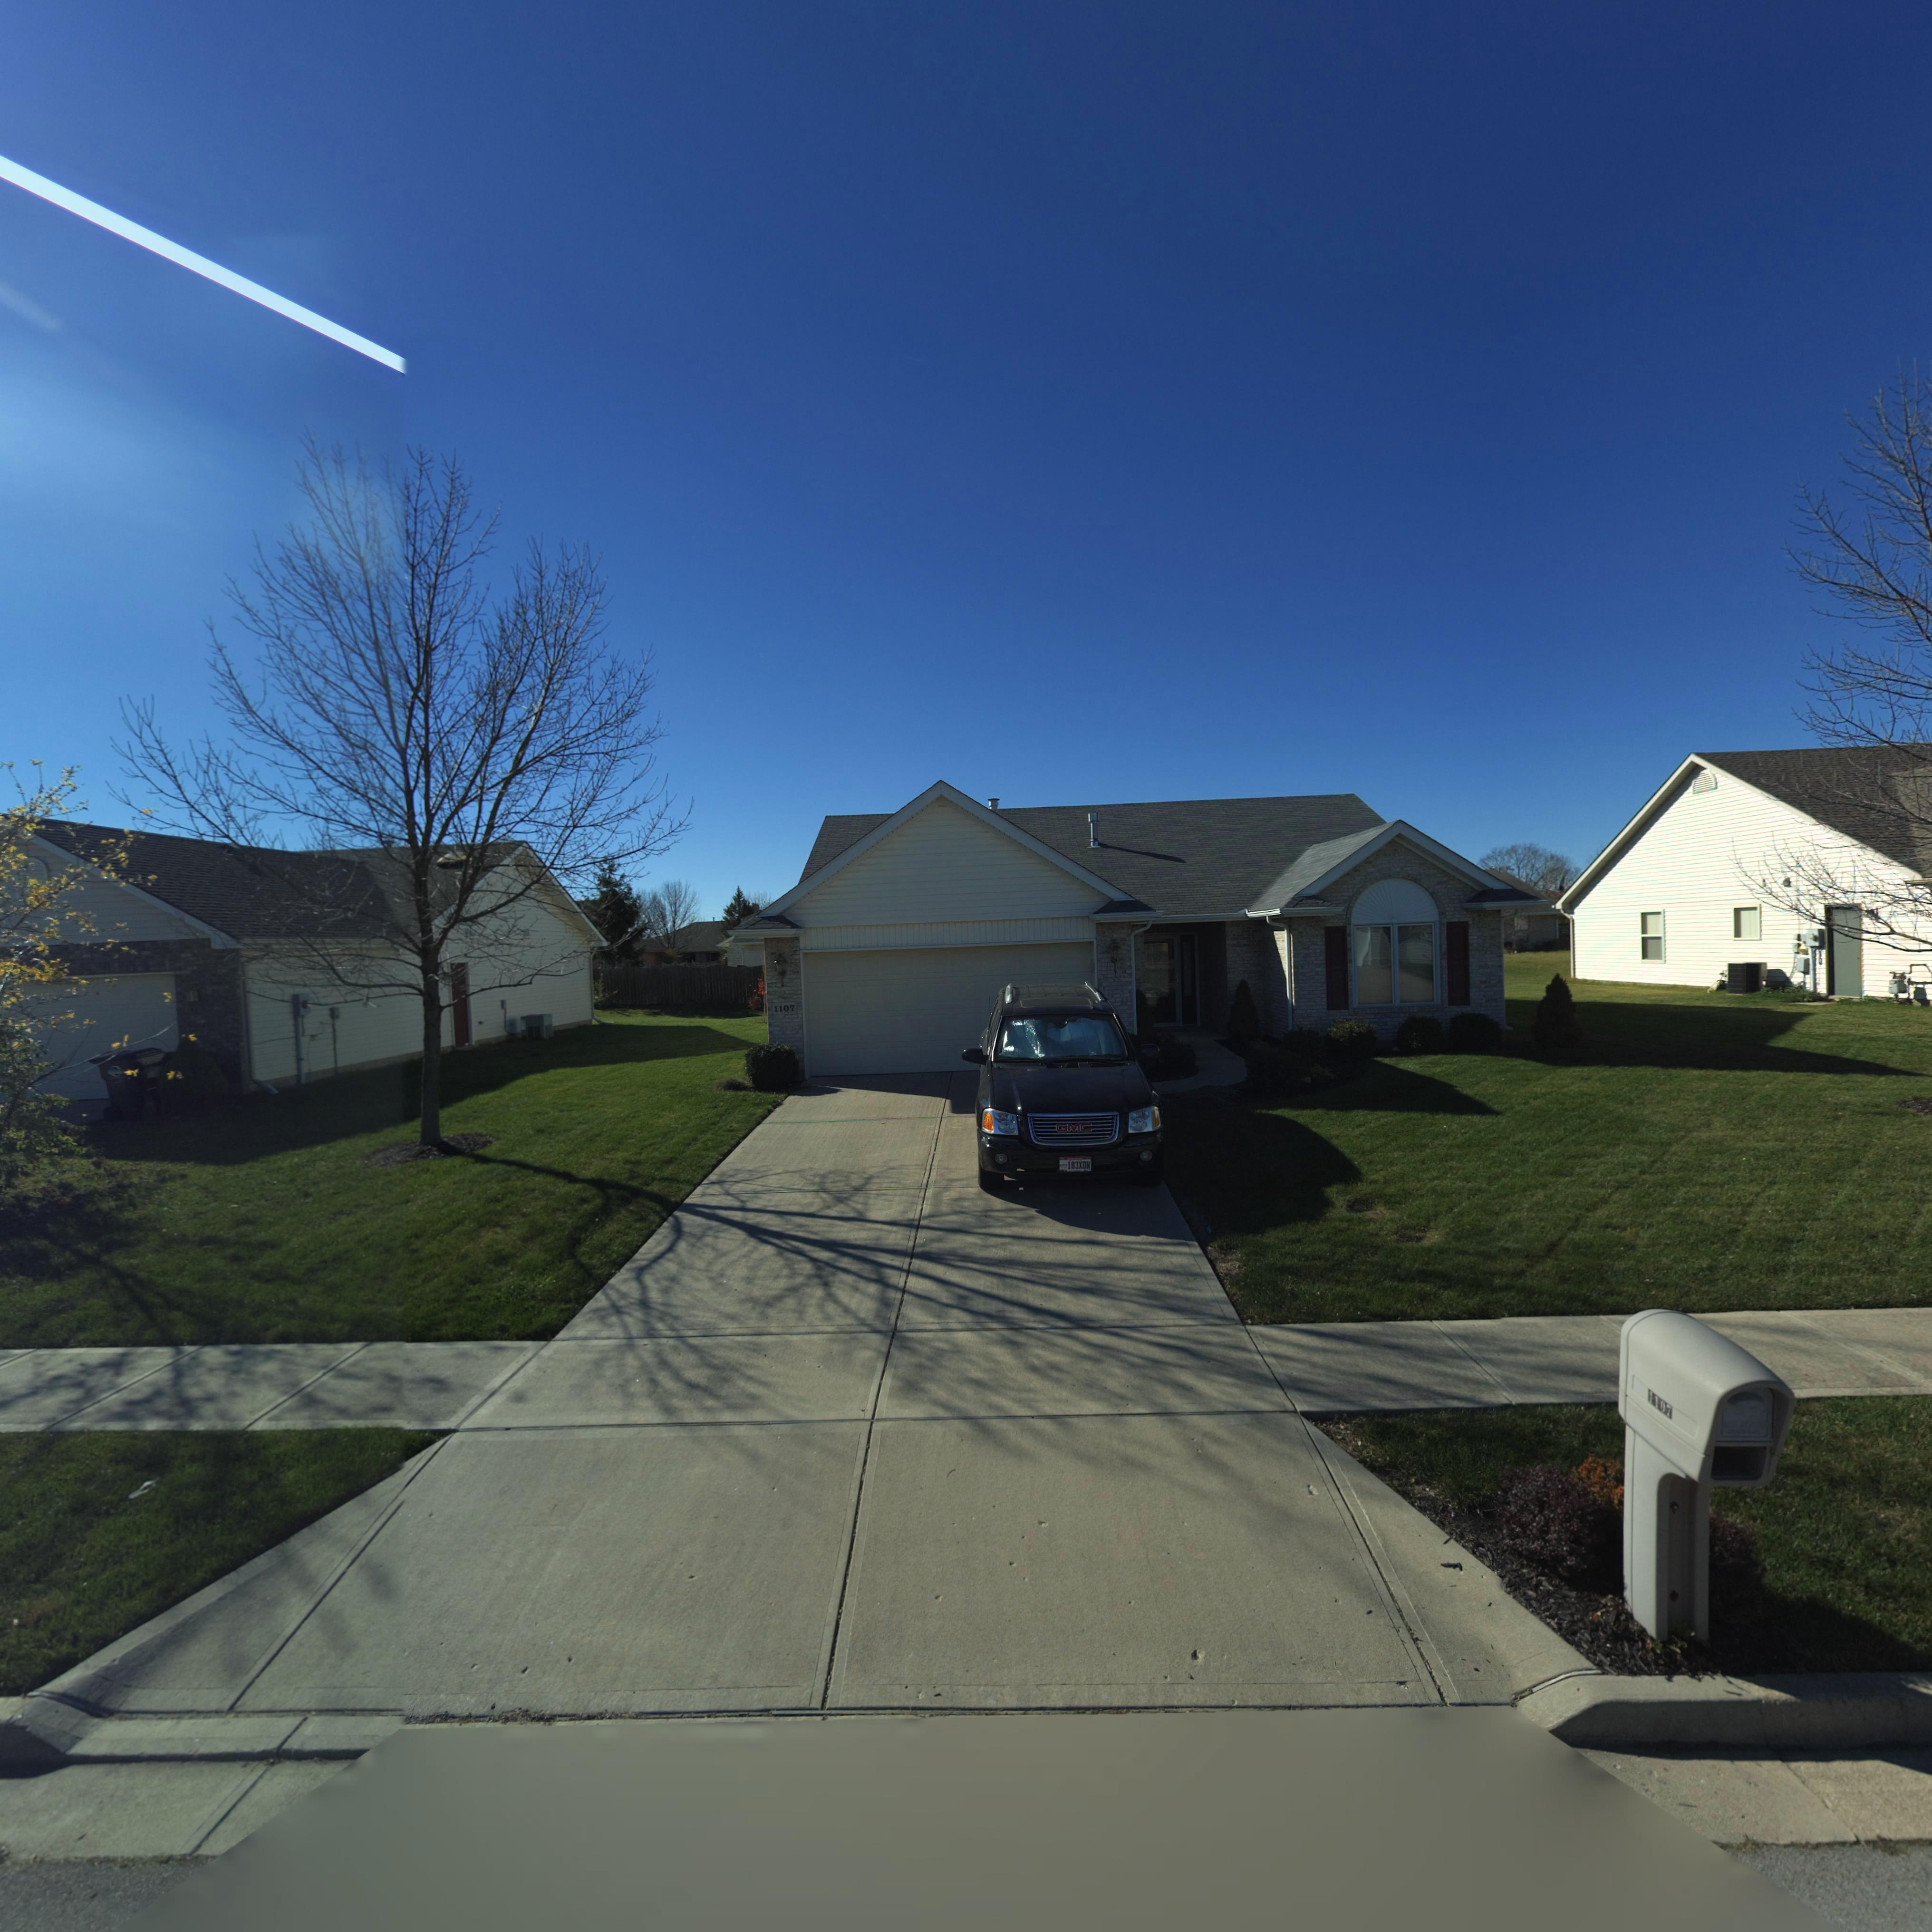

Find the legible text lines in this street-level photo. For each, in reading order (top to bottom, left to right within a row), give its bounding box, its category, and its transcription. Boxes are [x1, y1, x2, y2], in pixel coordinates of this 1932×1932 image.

[773, 1004, 796, 1013] StreetNumber: 1107
[1648, 1389, 1673, 1419] StreetNumber: 1107